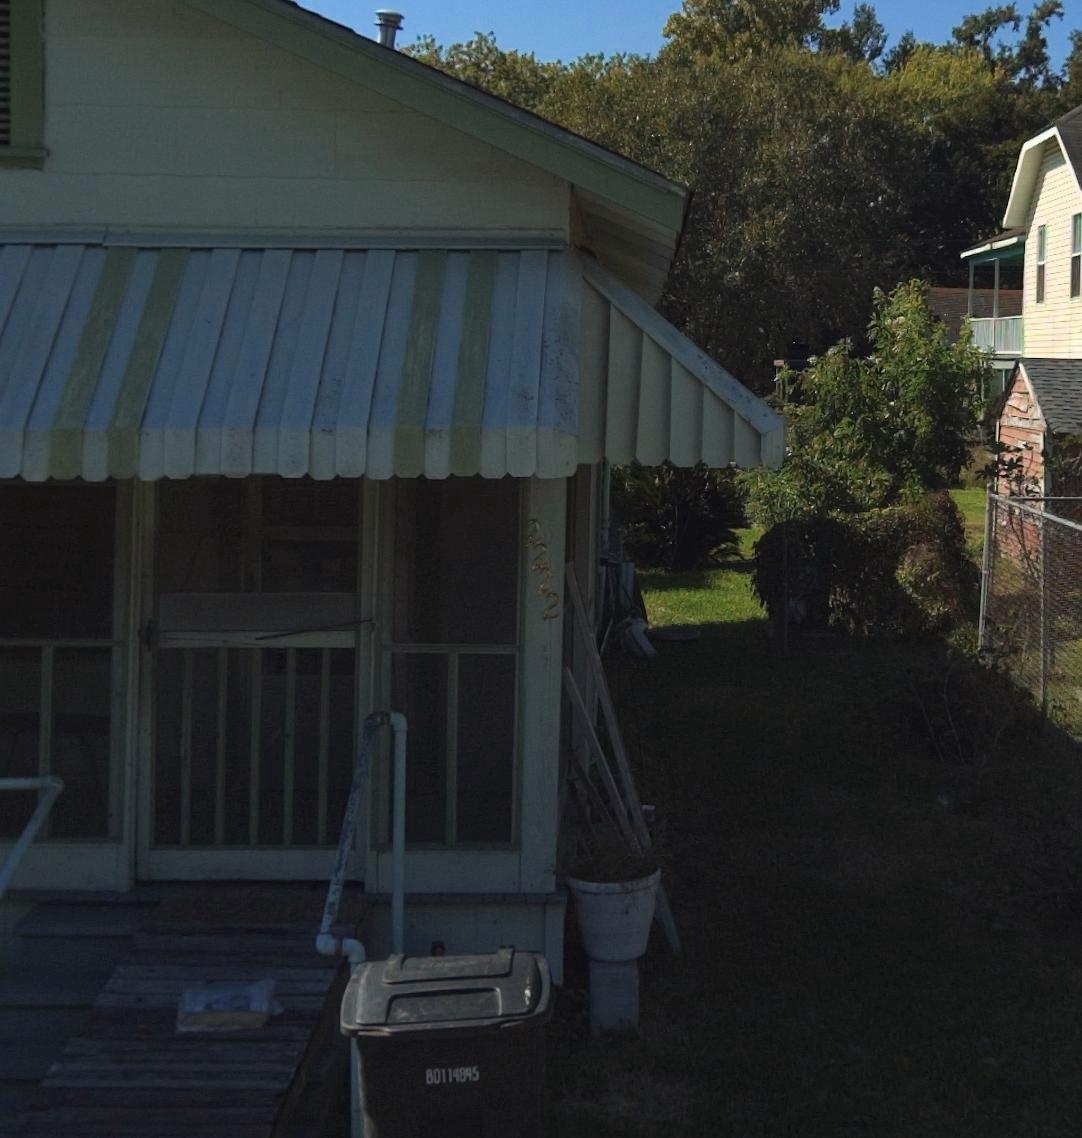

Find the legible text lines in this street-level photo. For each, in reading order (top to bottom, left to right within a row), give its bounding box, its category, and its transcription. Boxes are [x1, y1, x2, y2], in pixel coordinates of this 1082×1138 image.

[516, 513, 566, 624] StreetNumber: 2222
[422, 1061, 483, 1089] None: 80114845